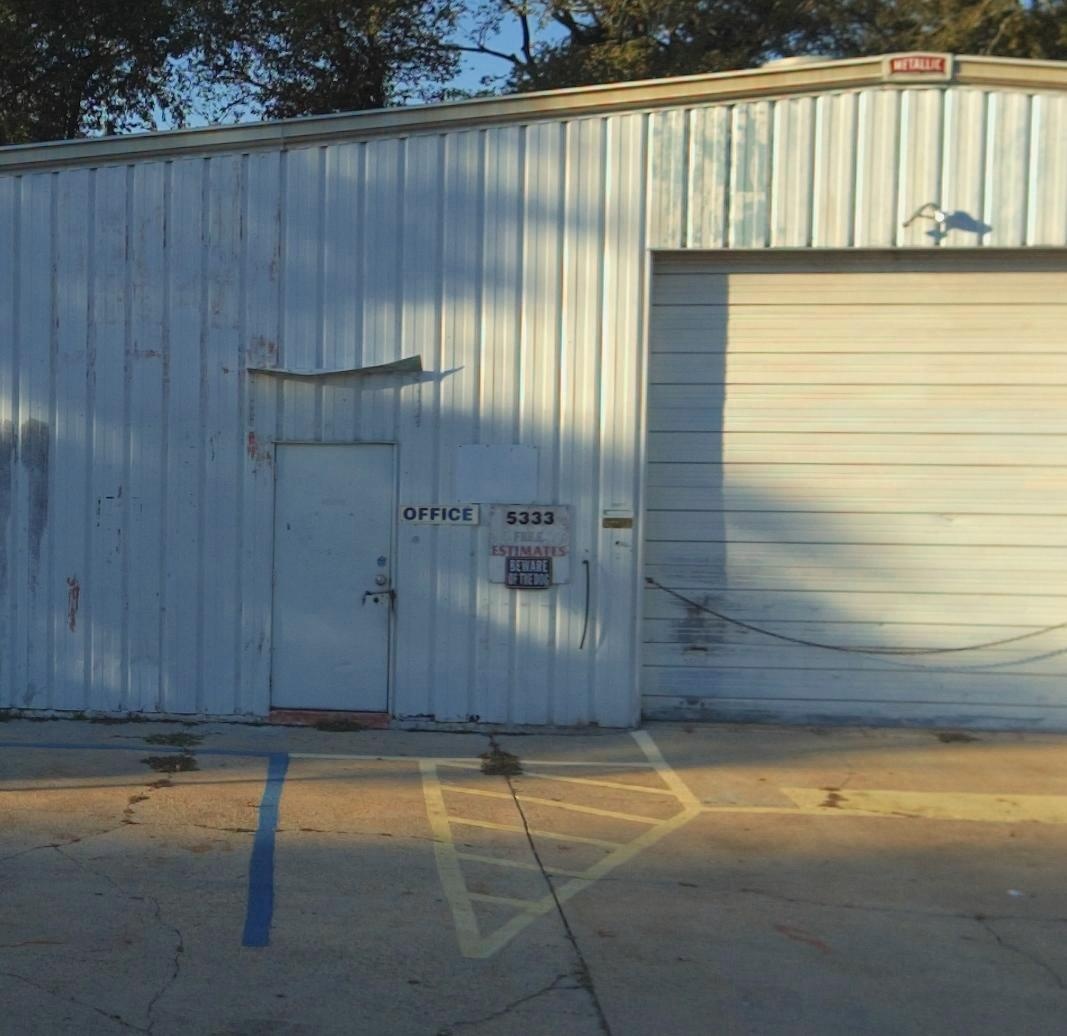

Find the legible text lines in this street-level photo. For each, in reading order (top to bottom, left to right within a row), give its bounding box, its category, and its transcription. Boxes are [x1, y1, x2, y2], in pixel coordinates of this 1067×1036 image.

[403, 506, 473, 521] None: OFFICE
[506, 510, 555, 525] StreetNumber: 5333
[512, 531, 544, 543] None: FREE
[489, 544, 565, 557] None: ESTIMATES
[509, 558, 548, 571] None: BEWARE
[507, 572, 550, 586] None: OF THE DOG